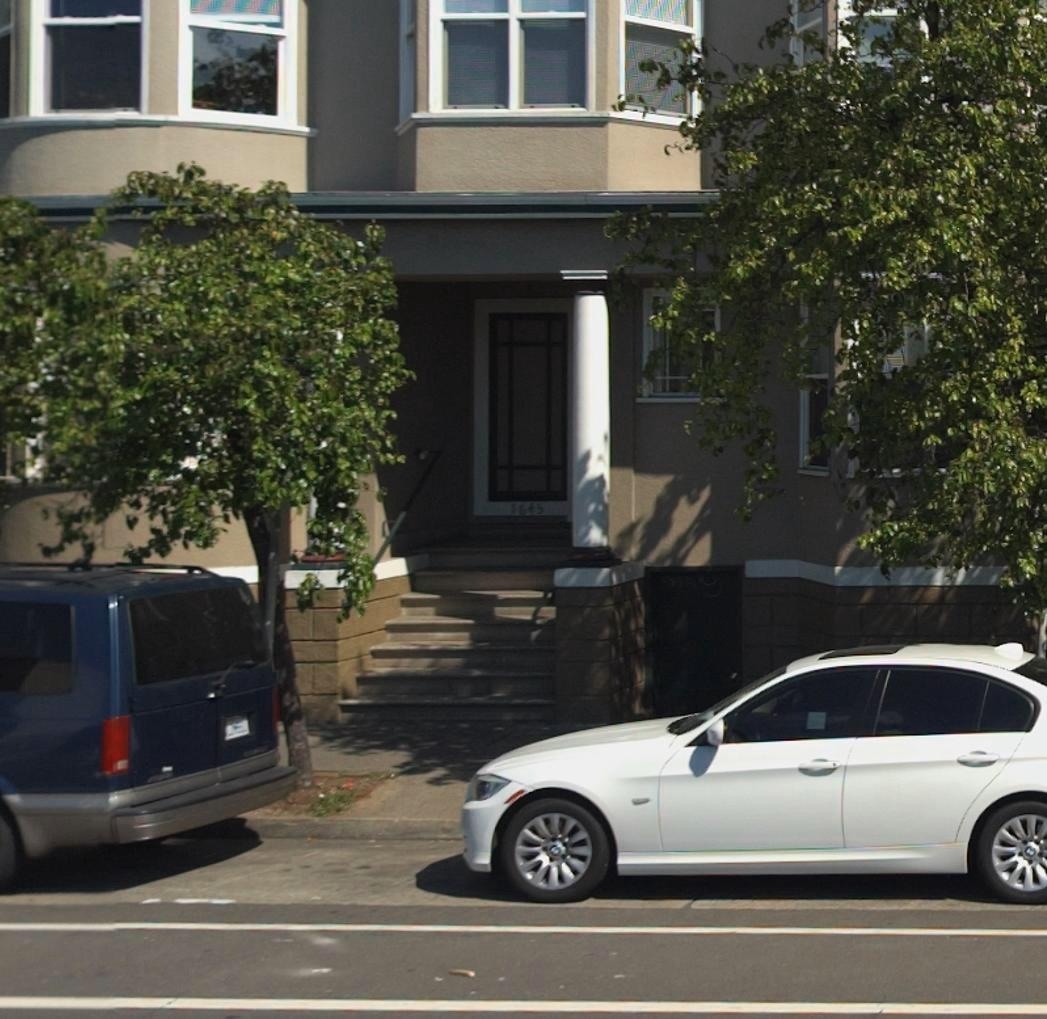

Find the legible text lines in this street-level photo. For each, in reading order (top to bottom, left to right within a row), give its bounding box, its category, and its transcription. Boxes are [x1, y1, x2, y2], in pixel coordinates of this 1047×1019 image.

[509, 503, 546, 515] StreetNumber: 1645